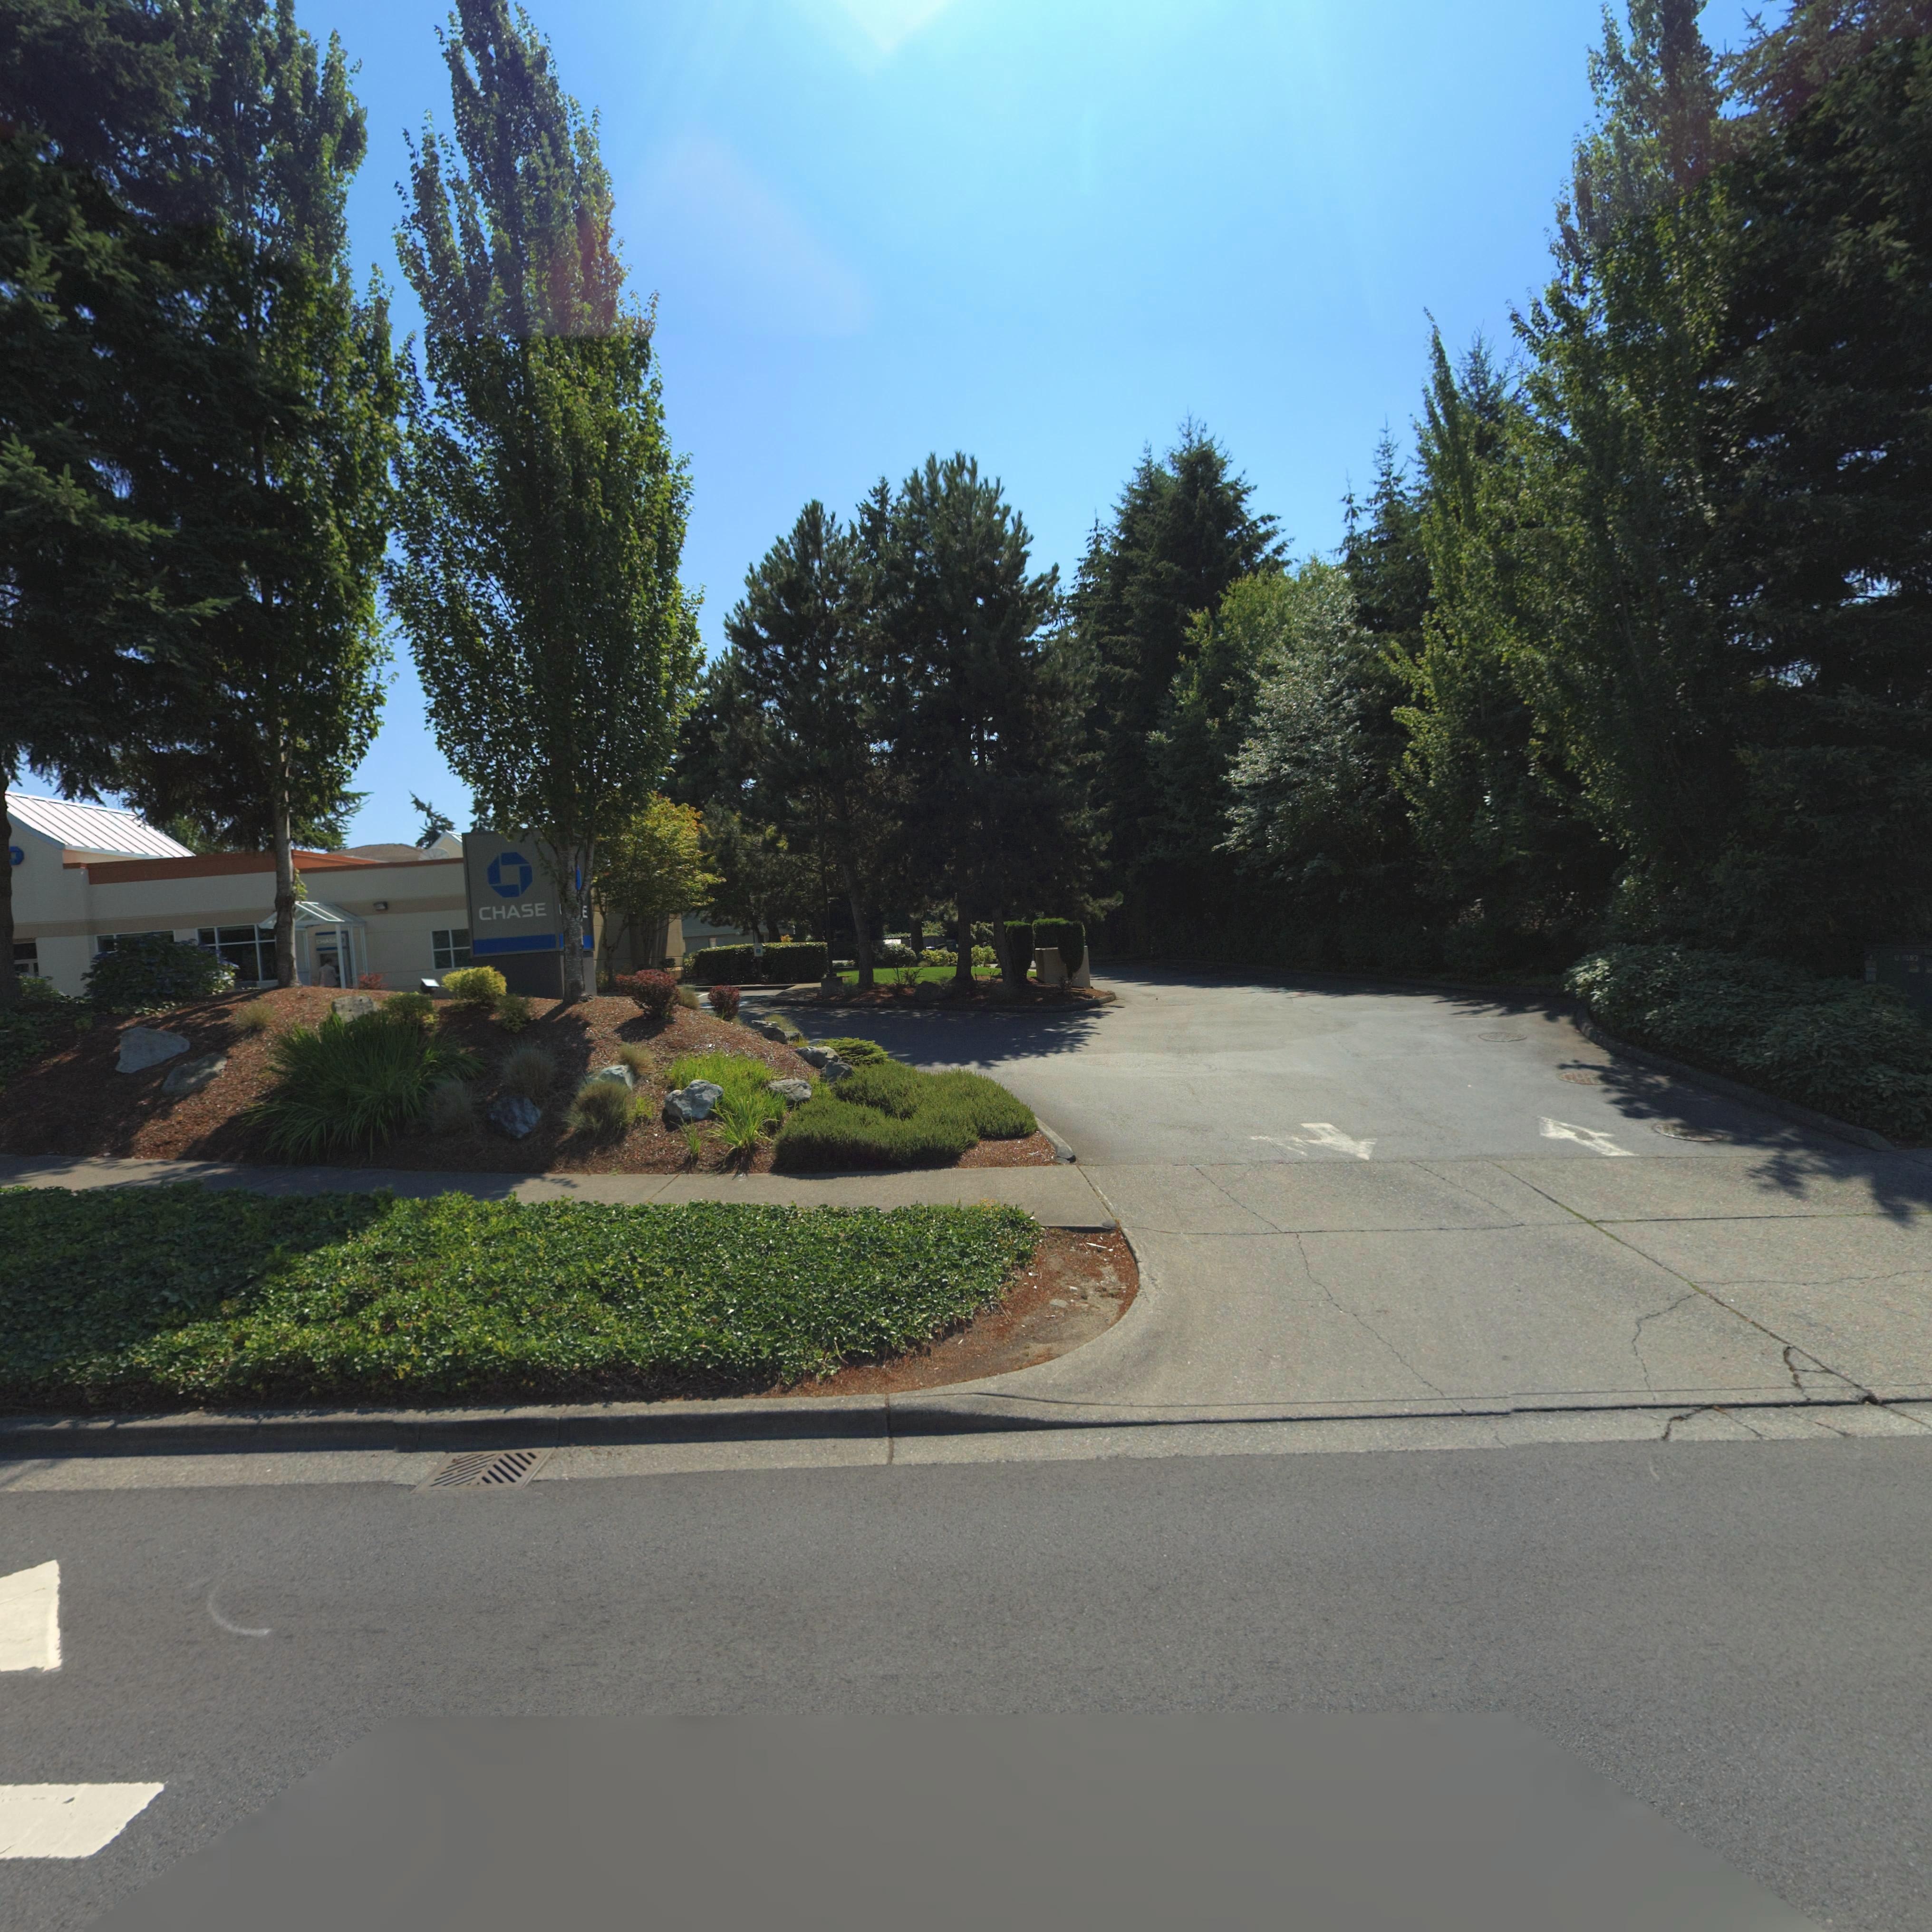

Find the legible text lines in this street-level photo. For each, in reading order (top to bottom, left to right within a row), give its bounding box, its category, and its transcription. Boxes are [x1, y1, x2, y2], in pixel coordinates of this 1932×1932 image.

[478, 902, 548, 921] BusinessName: CHASE